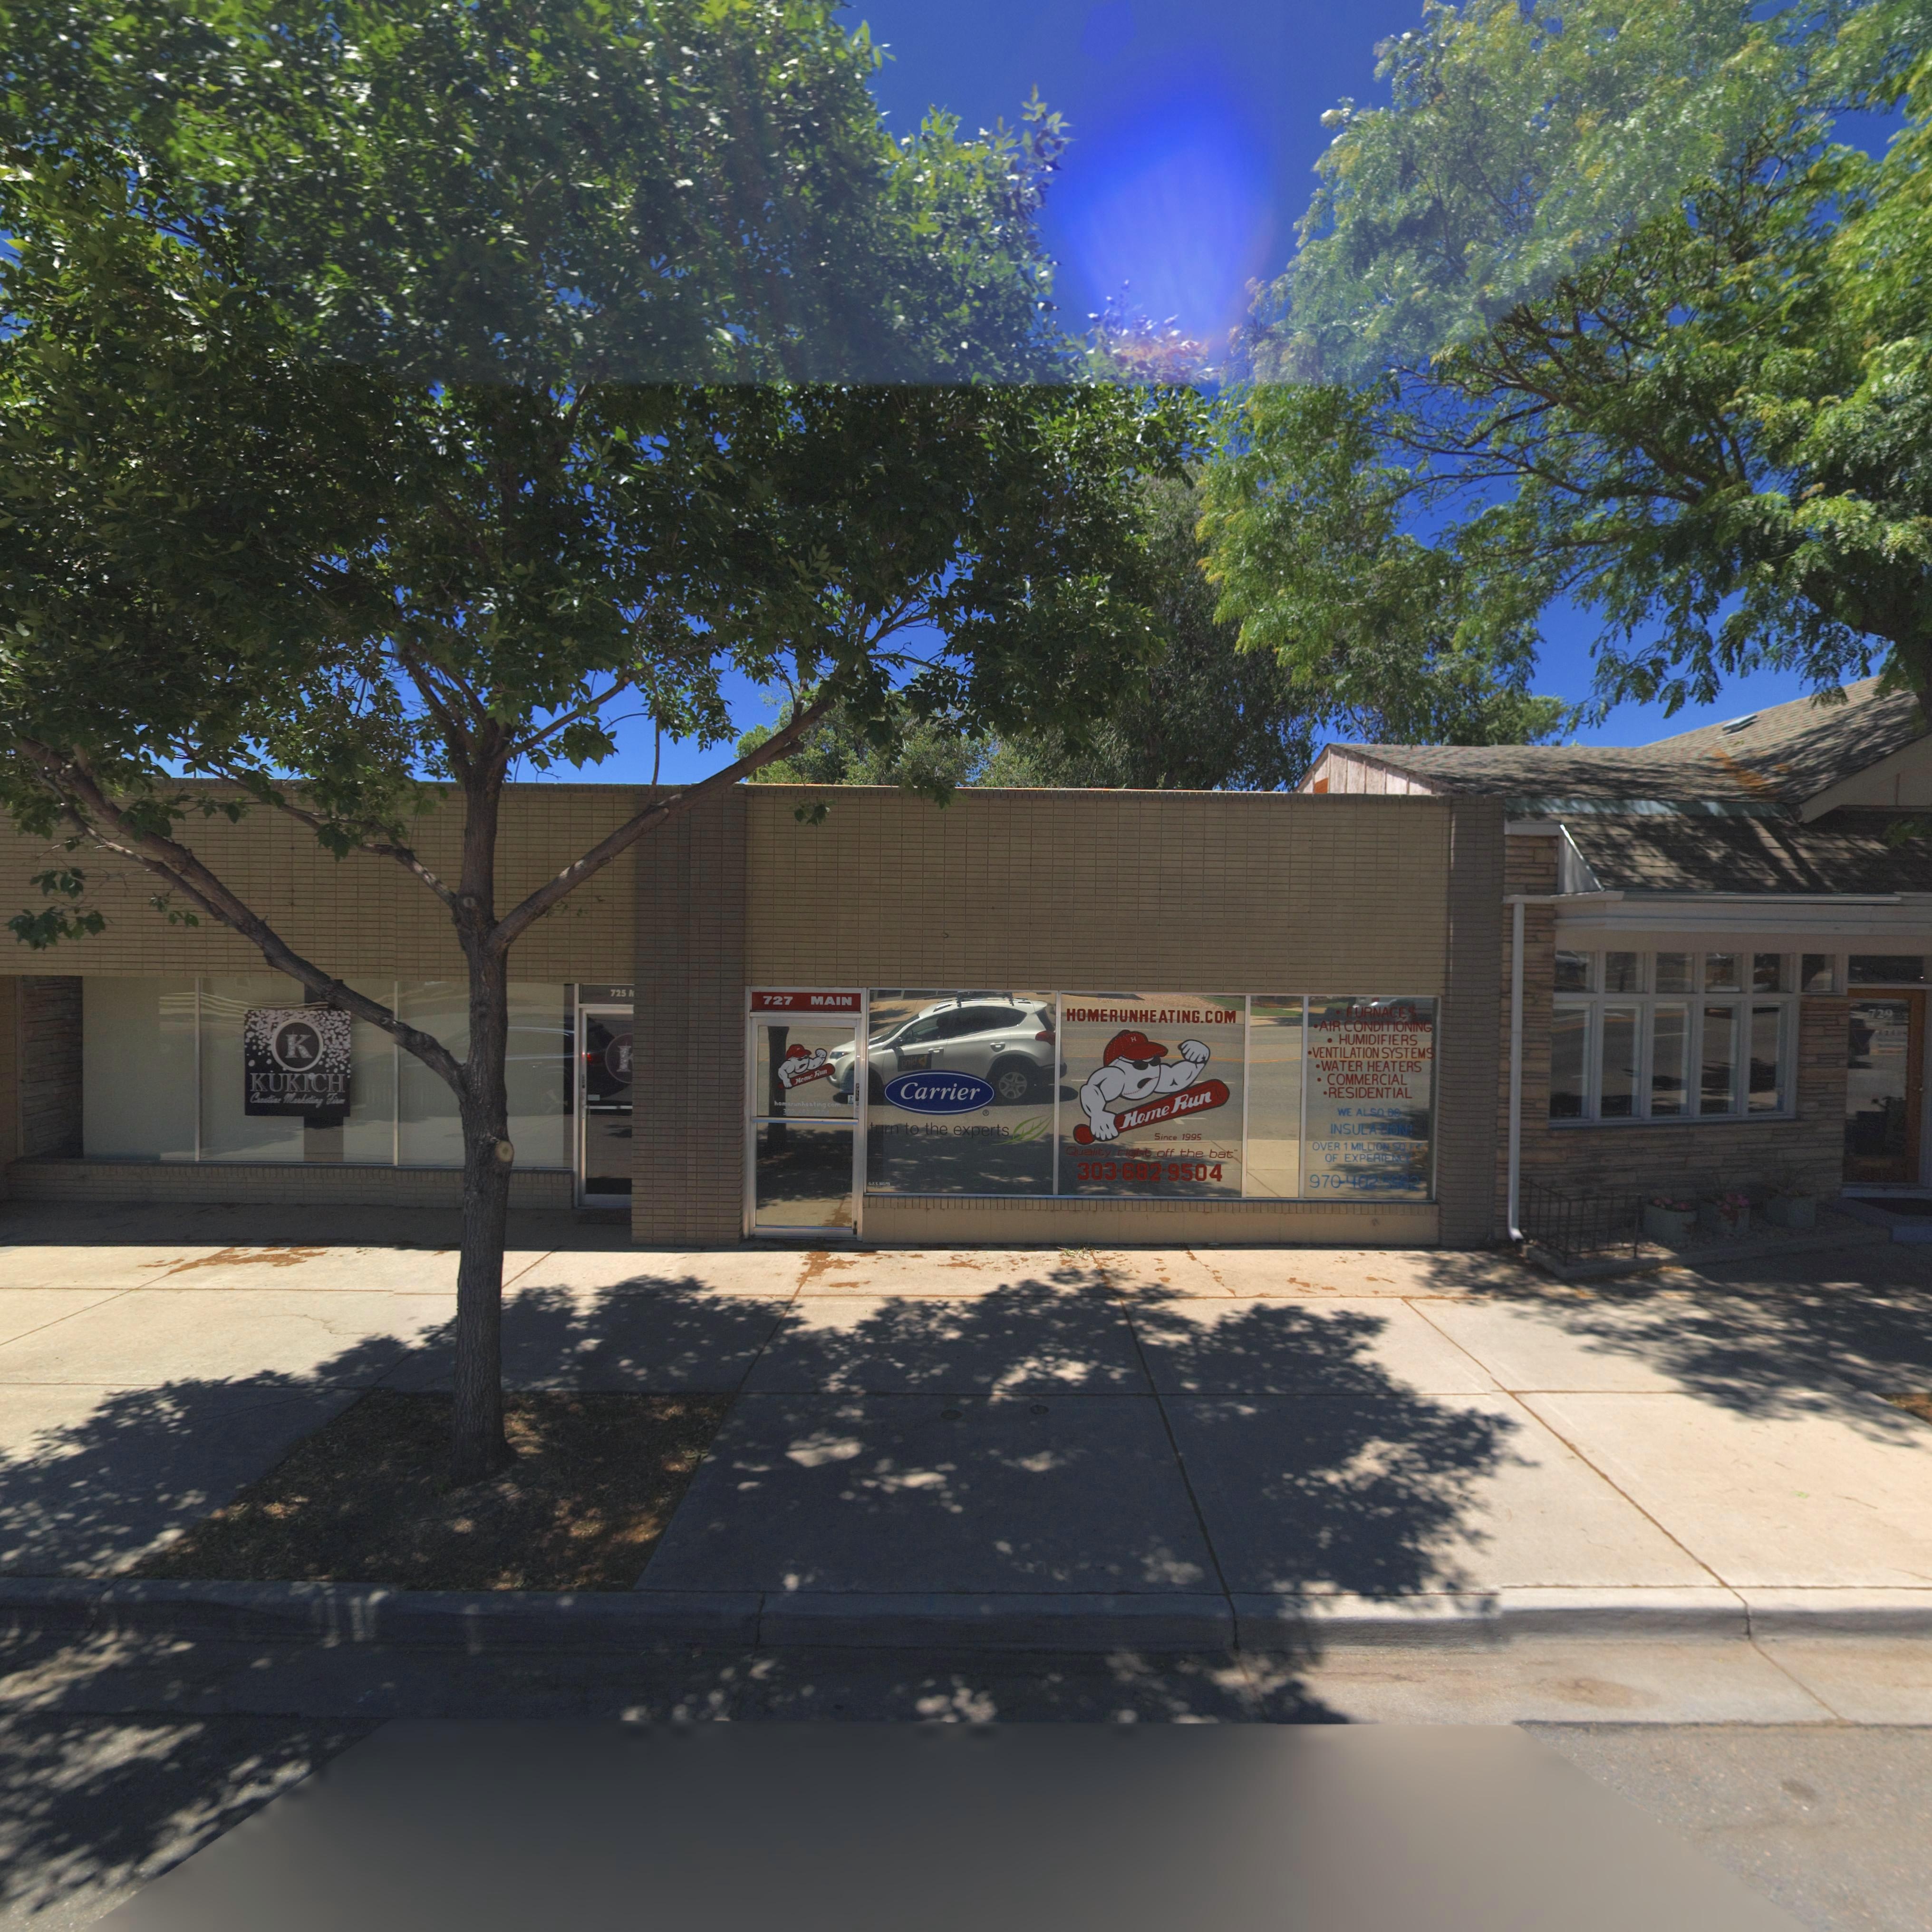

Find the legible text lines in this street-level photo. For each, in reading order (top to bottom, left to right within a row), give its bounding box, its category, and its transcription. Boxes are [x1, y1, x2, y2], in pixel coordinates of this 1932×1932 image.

[610, 989, 626, 997] StreetNumber: 725
[763, 995, 793, 1005] StreetNumber: 727
[811, 996, 851, 1005] StreetName: MAIN
[1868, 1008, 1893, 1018] StreetNumber: 729
[250, 1072, 345, 1093] BusinessName: KUKICH
[793, 1069, 827, 1085] BusinessName: Home Run
[250, 1092, 346, 1108] BusinessName: Cre*tive Marketing Firm
[1119, 1091, 1212, 1129] BusinessName: Home Run